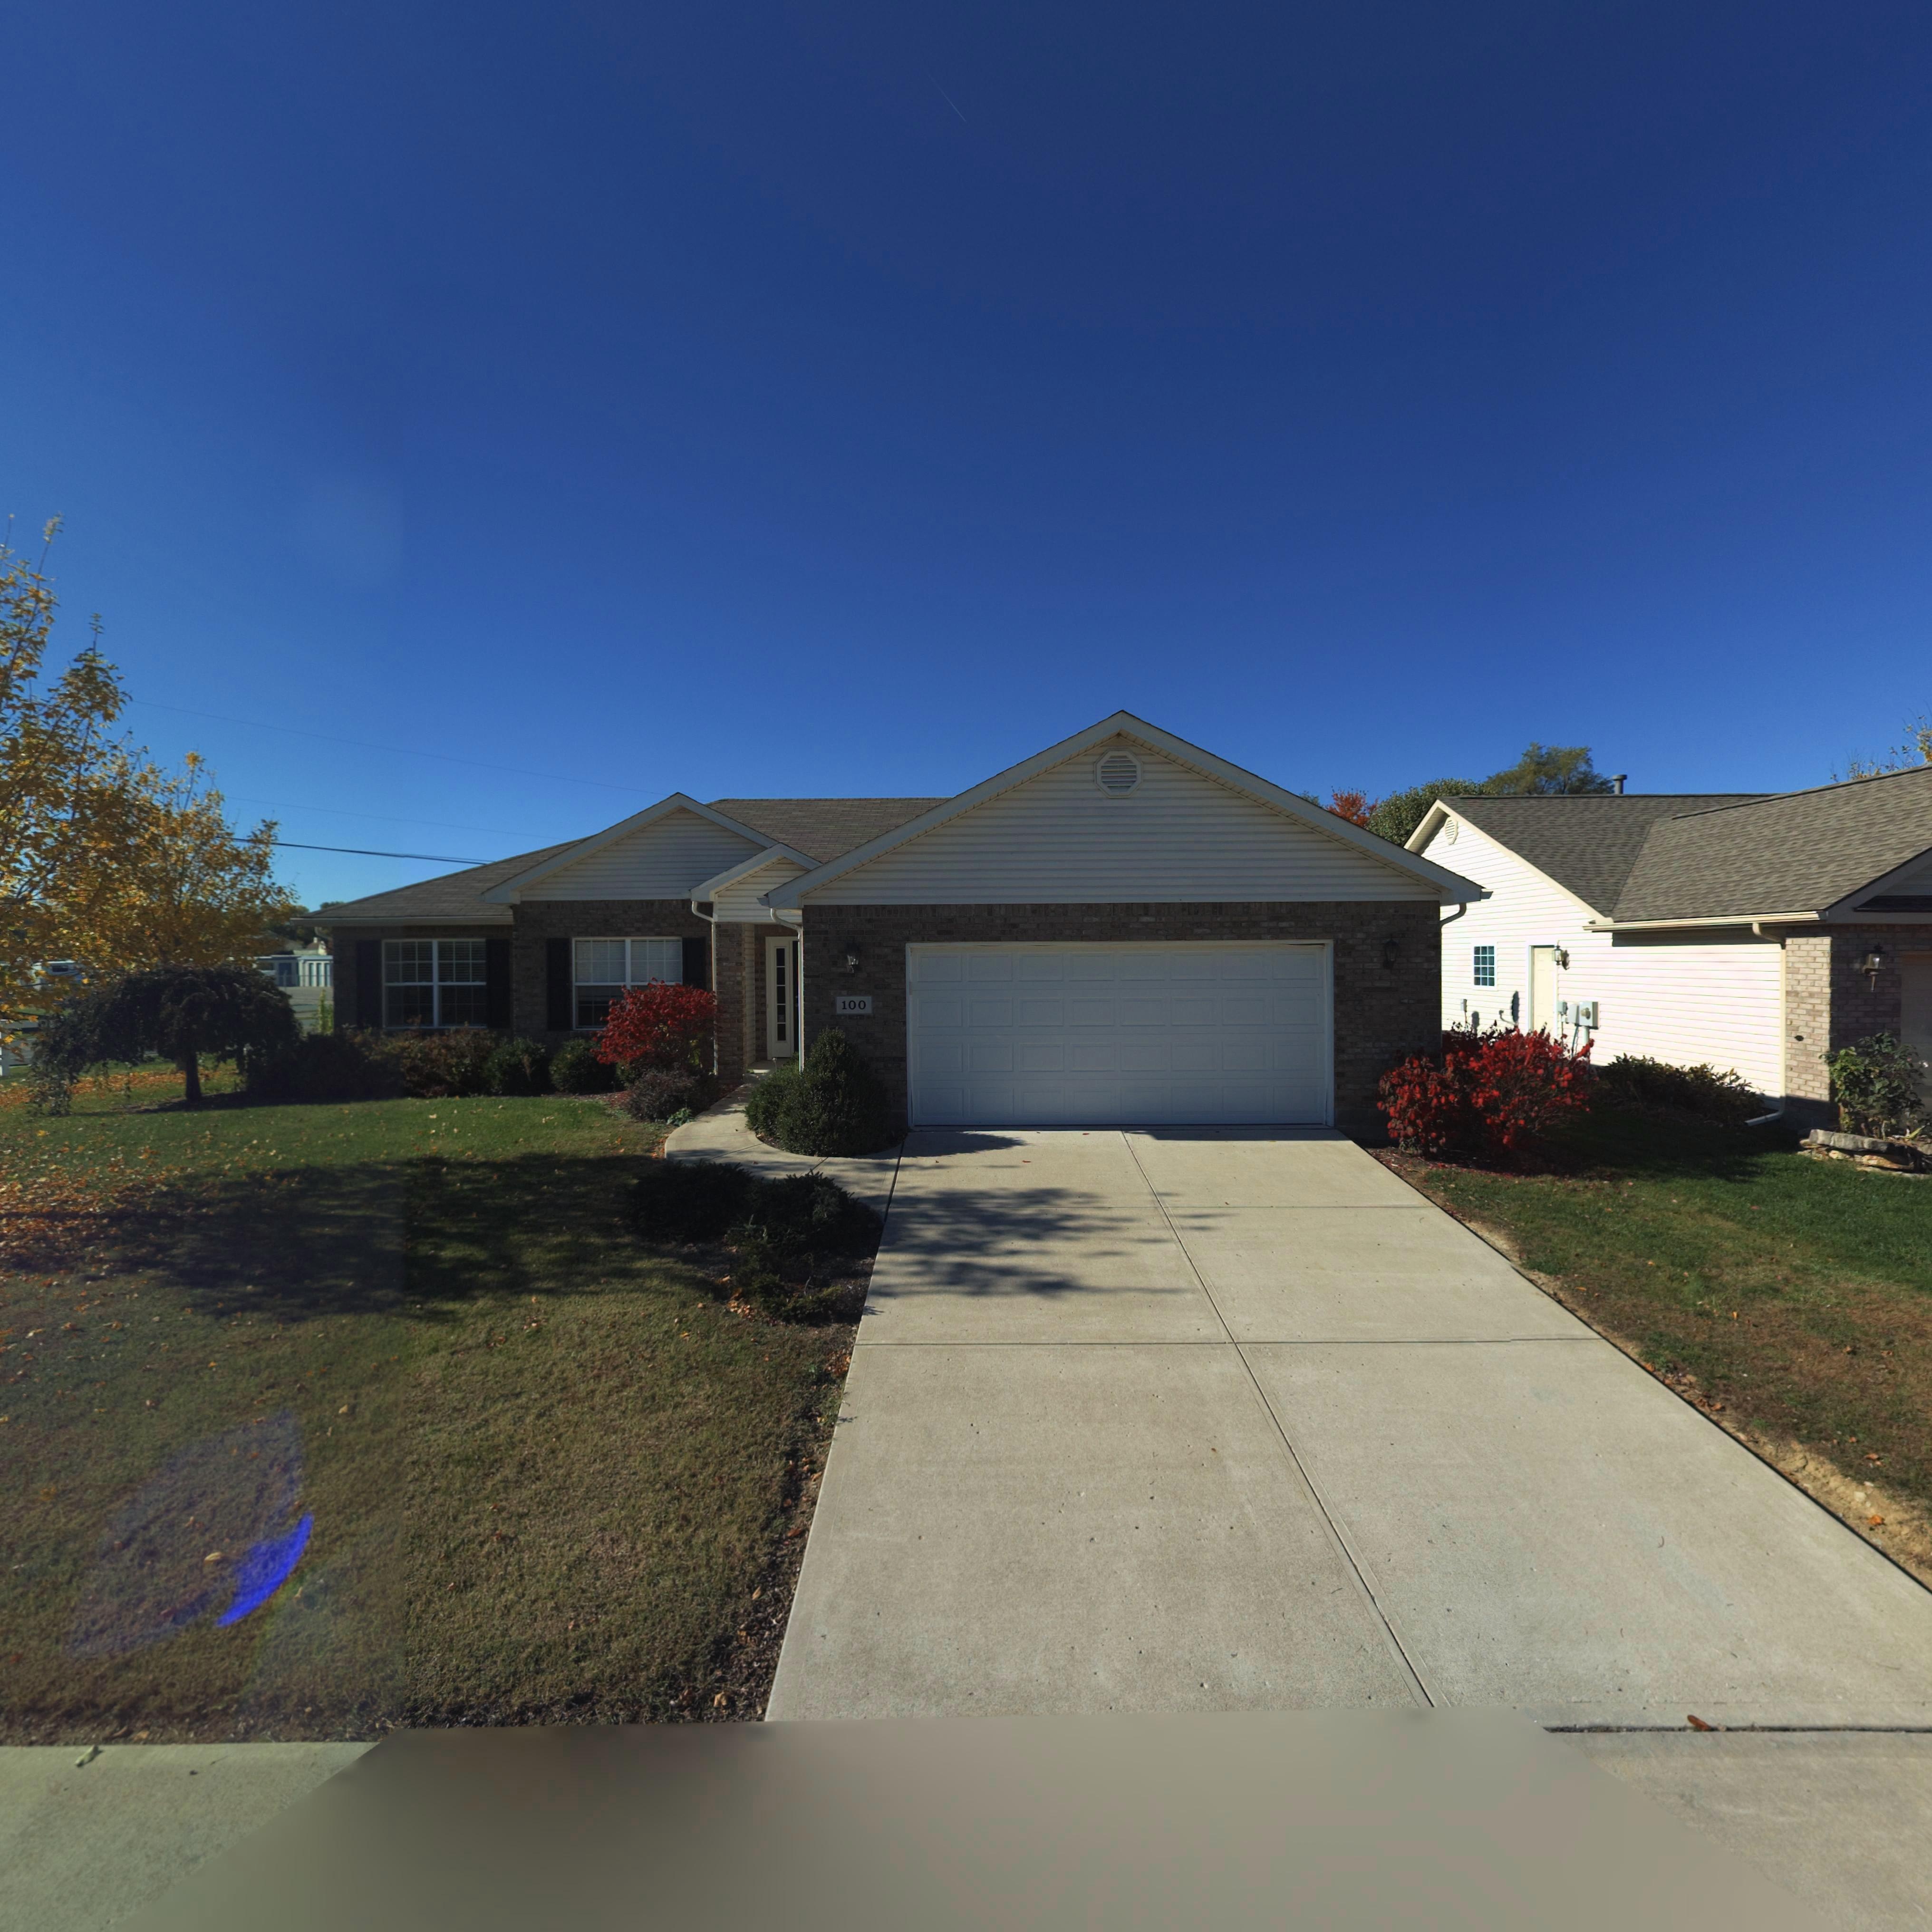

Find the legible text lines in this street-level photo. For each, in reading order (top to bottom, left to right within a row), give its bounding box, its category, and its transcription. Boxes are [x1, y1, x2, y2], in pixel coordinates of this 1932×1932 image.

[840, 999, 867, 1011] StreetNumber: 100